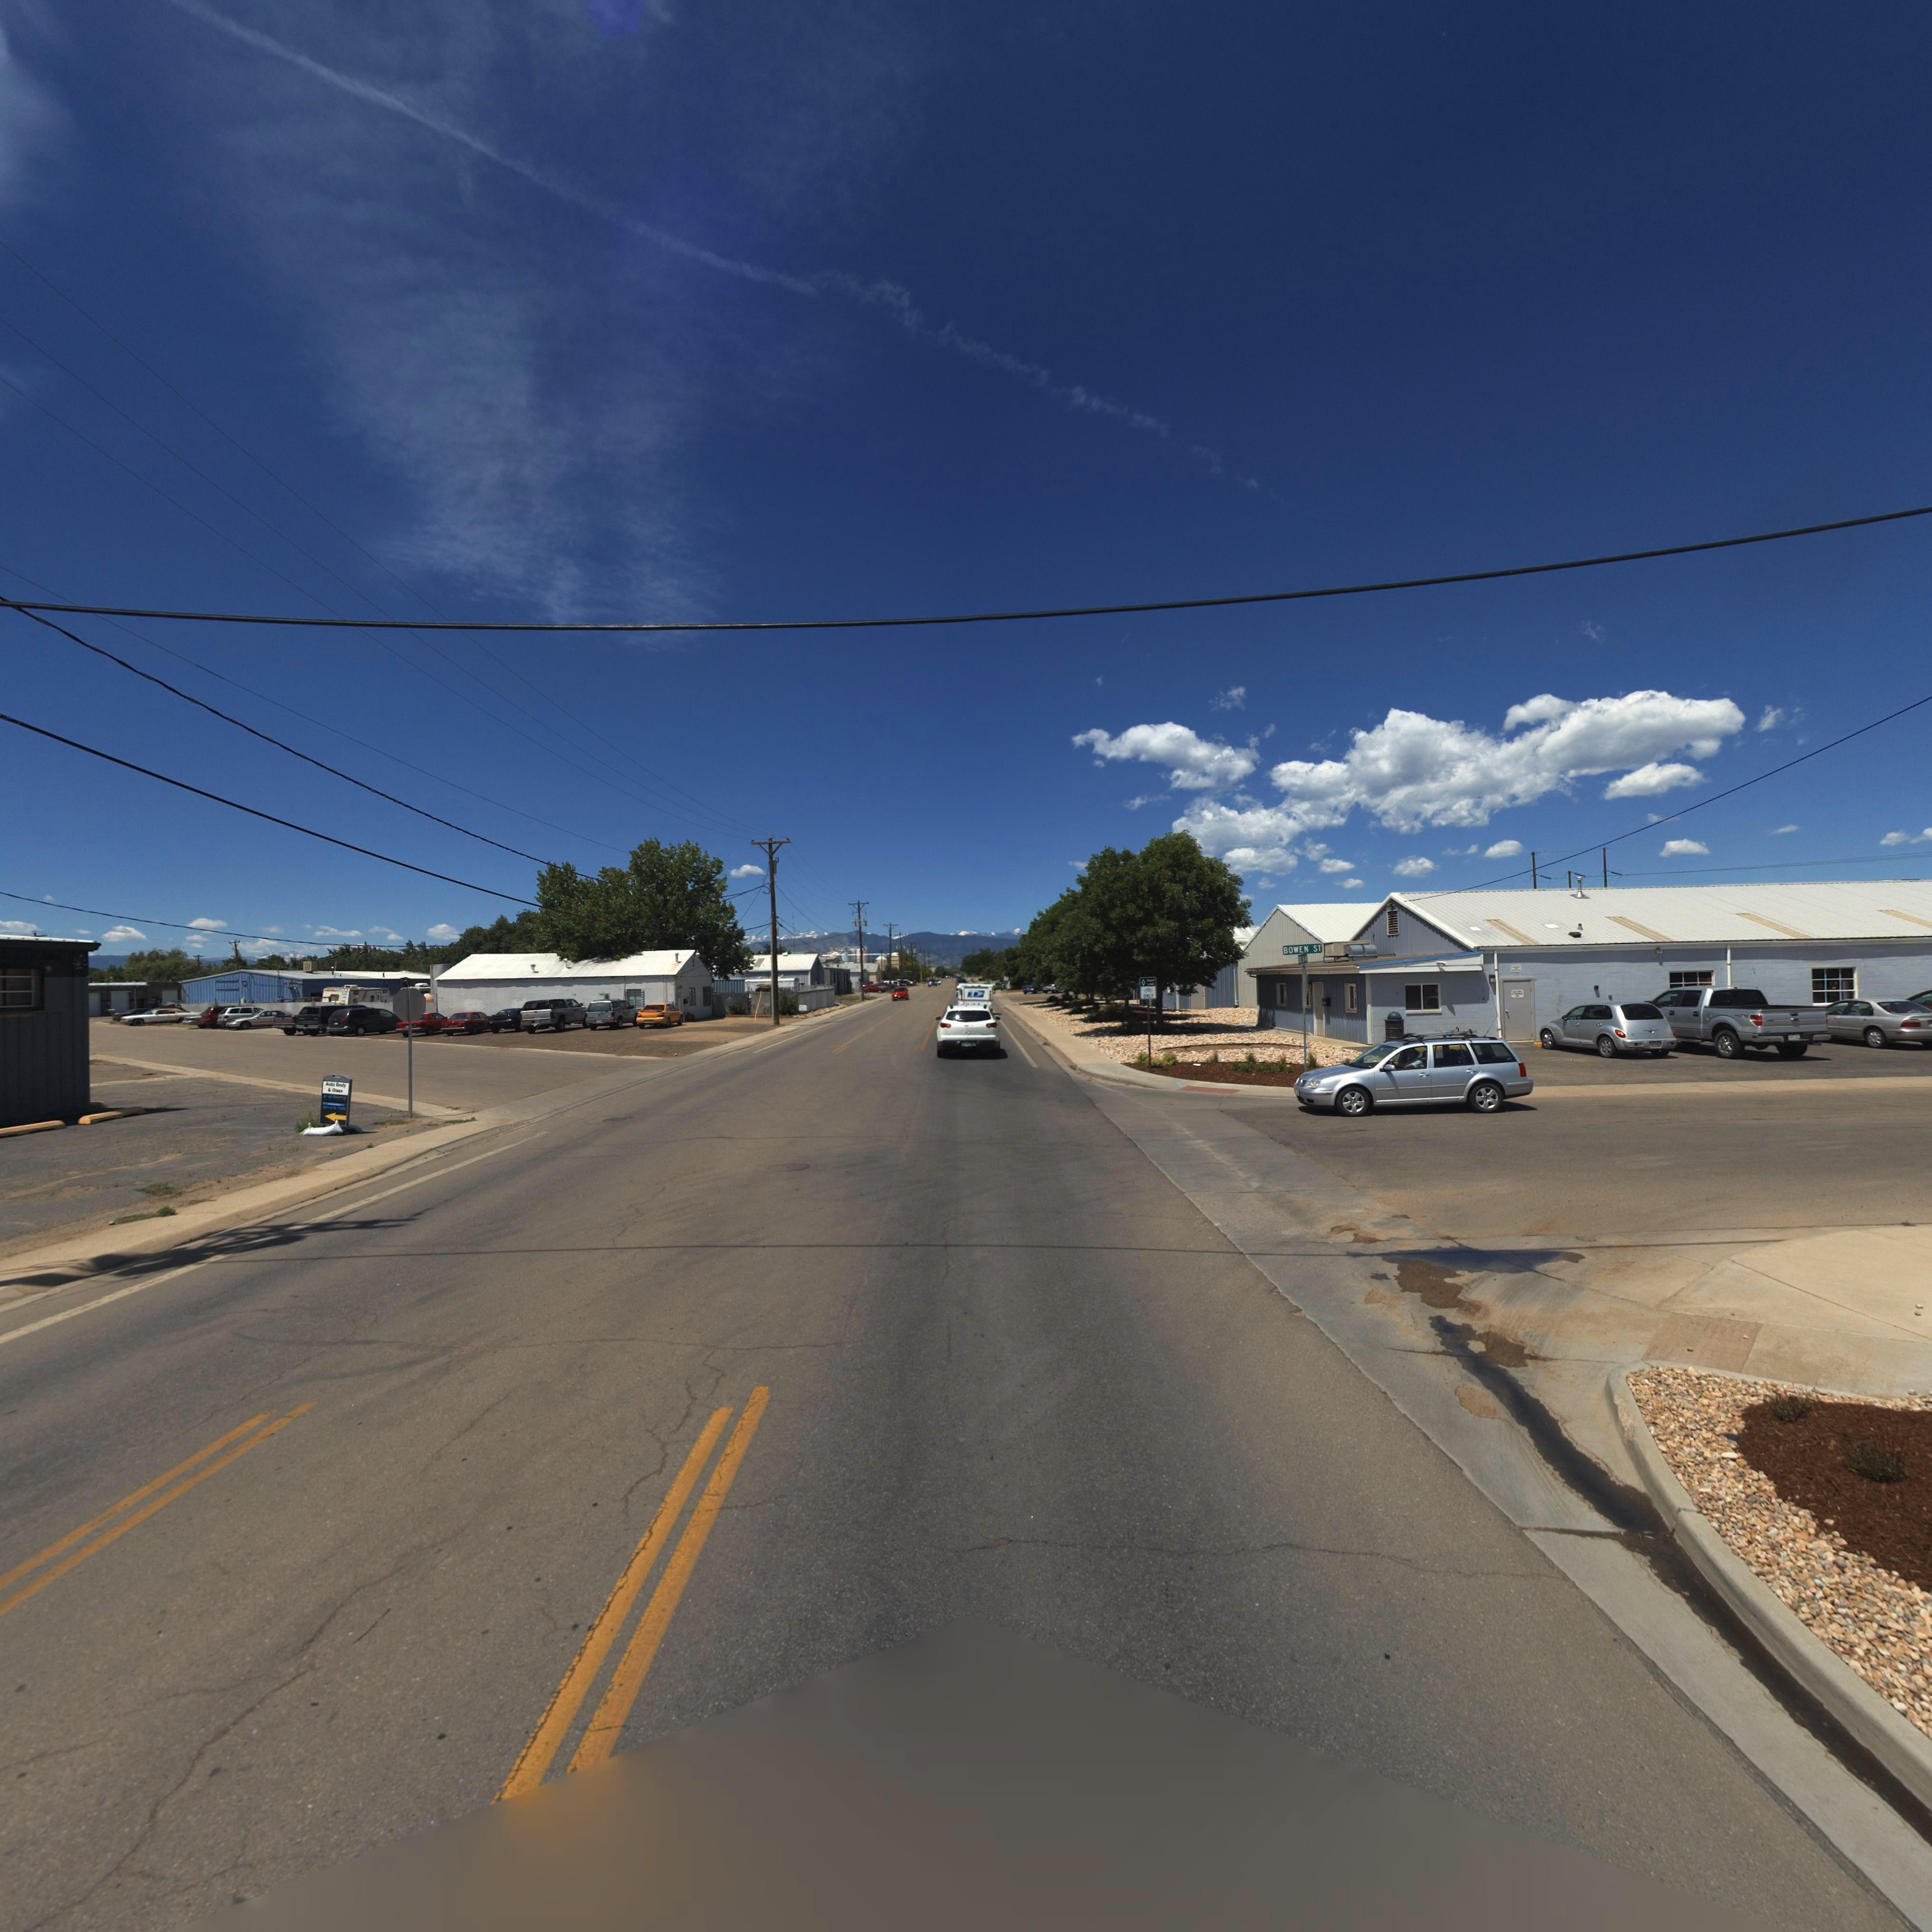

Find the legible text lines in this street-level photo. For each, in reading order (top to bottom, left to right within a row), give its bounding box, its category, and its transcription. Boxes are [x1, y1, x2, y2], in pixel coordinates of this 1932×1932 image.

[1283, 944, 1322, 954] StreetName: BOWEN ST